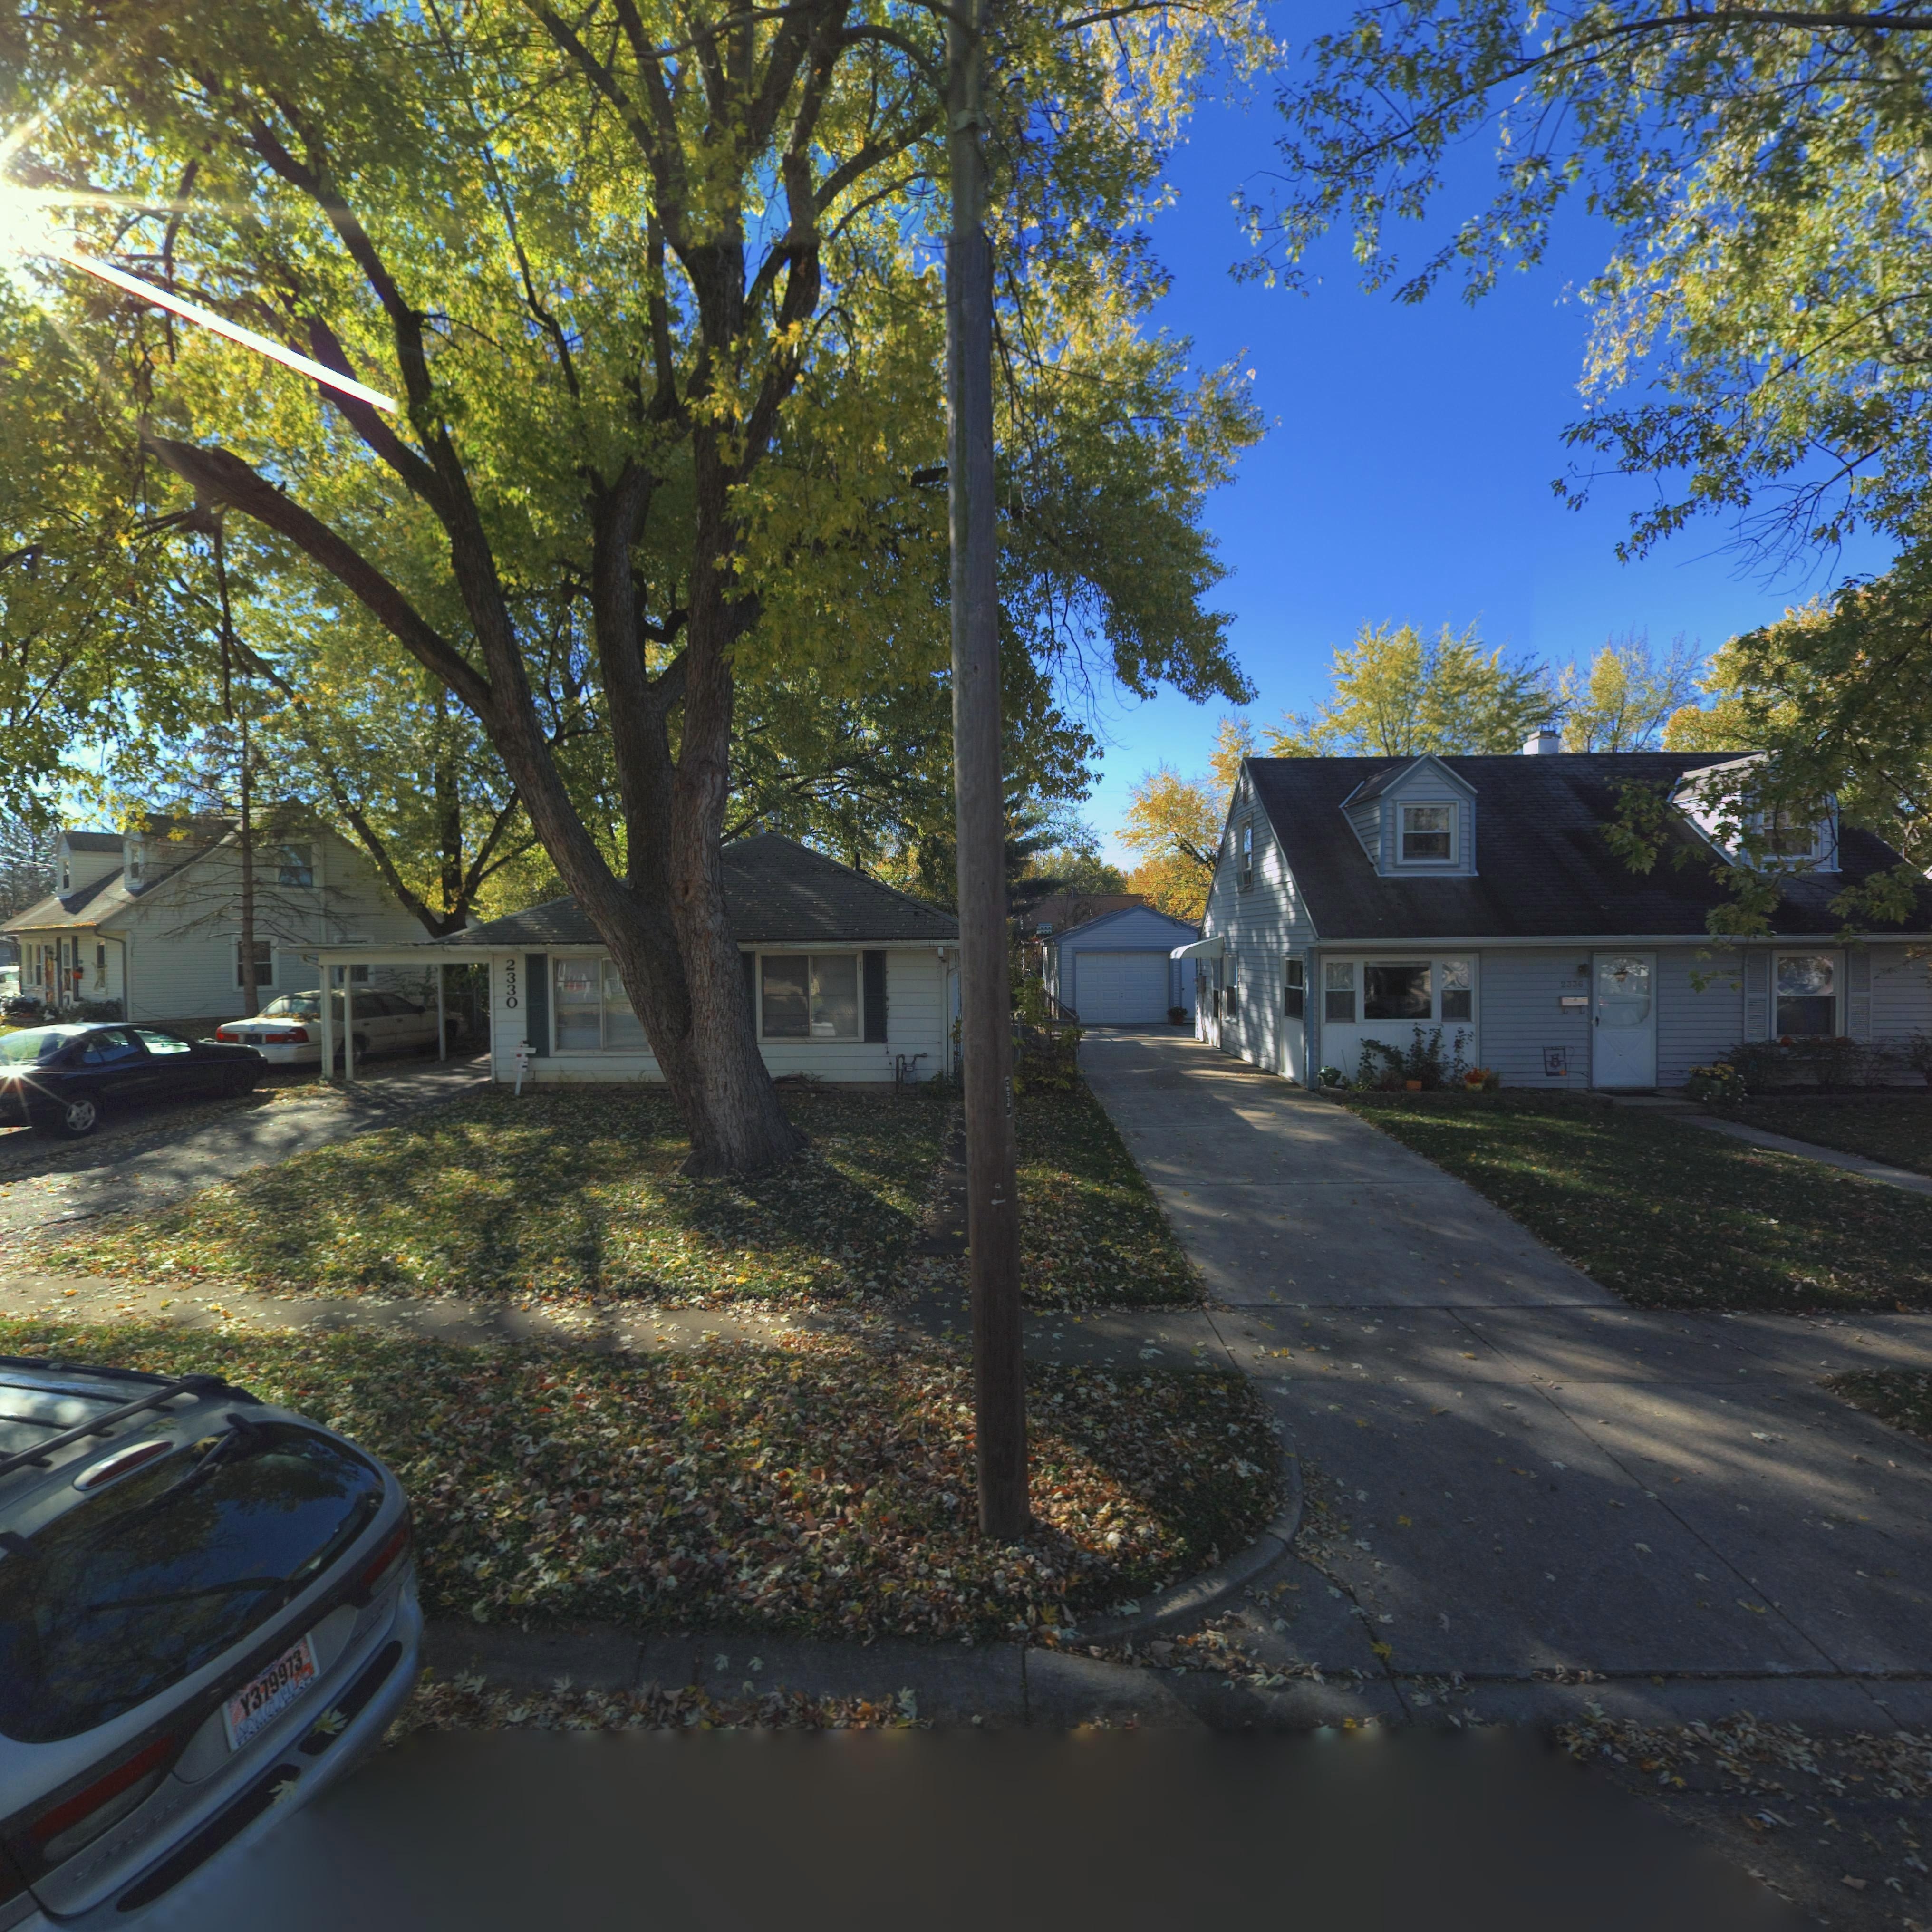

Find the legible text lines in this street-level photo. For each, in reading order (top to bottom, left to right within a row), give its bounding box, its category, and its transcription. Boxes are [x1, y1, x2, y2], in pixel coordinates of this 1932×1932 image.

[505, 958, 519, 1010] StreetNumber: 2330
[1560, 979, 1584, 989] StreetNumber: 2336